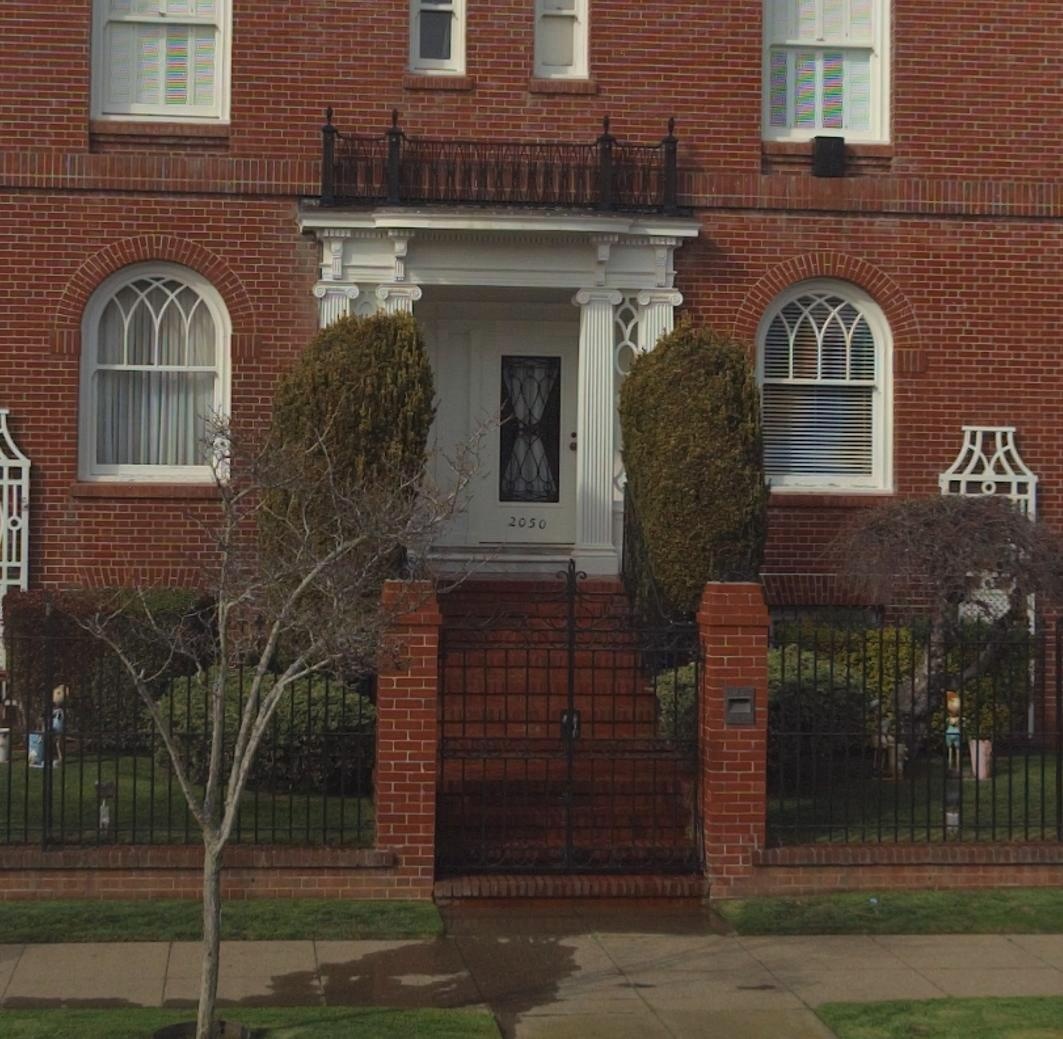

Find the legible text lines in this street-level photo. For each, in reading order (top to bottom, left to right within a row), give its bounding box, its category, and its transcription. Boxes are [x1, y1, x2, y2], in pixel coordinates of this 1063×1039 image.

[506, 515, 548, 530] StreetNumber: 2050